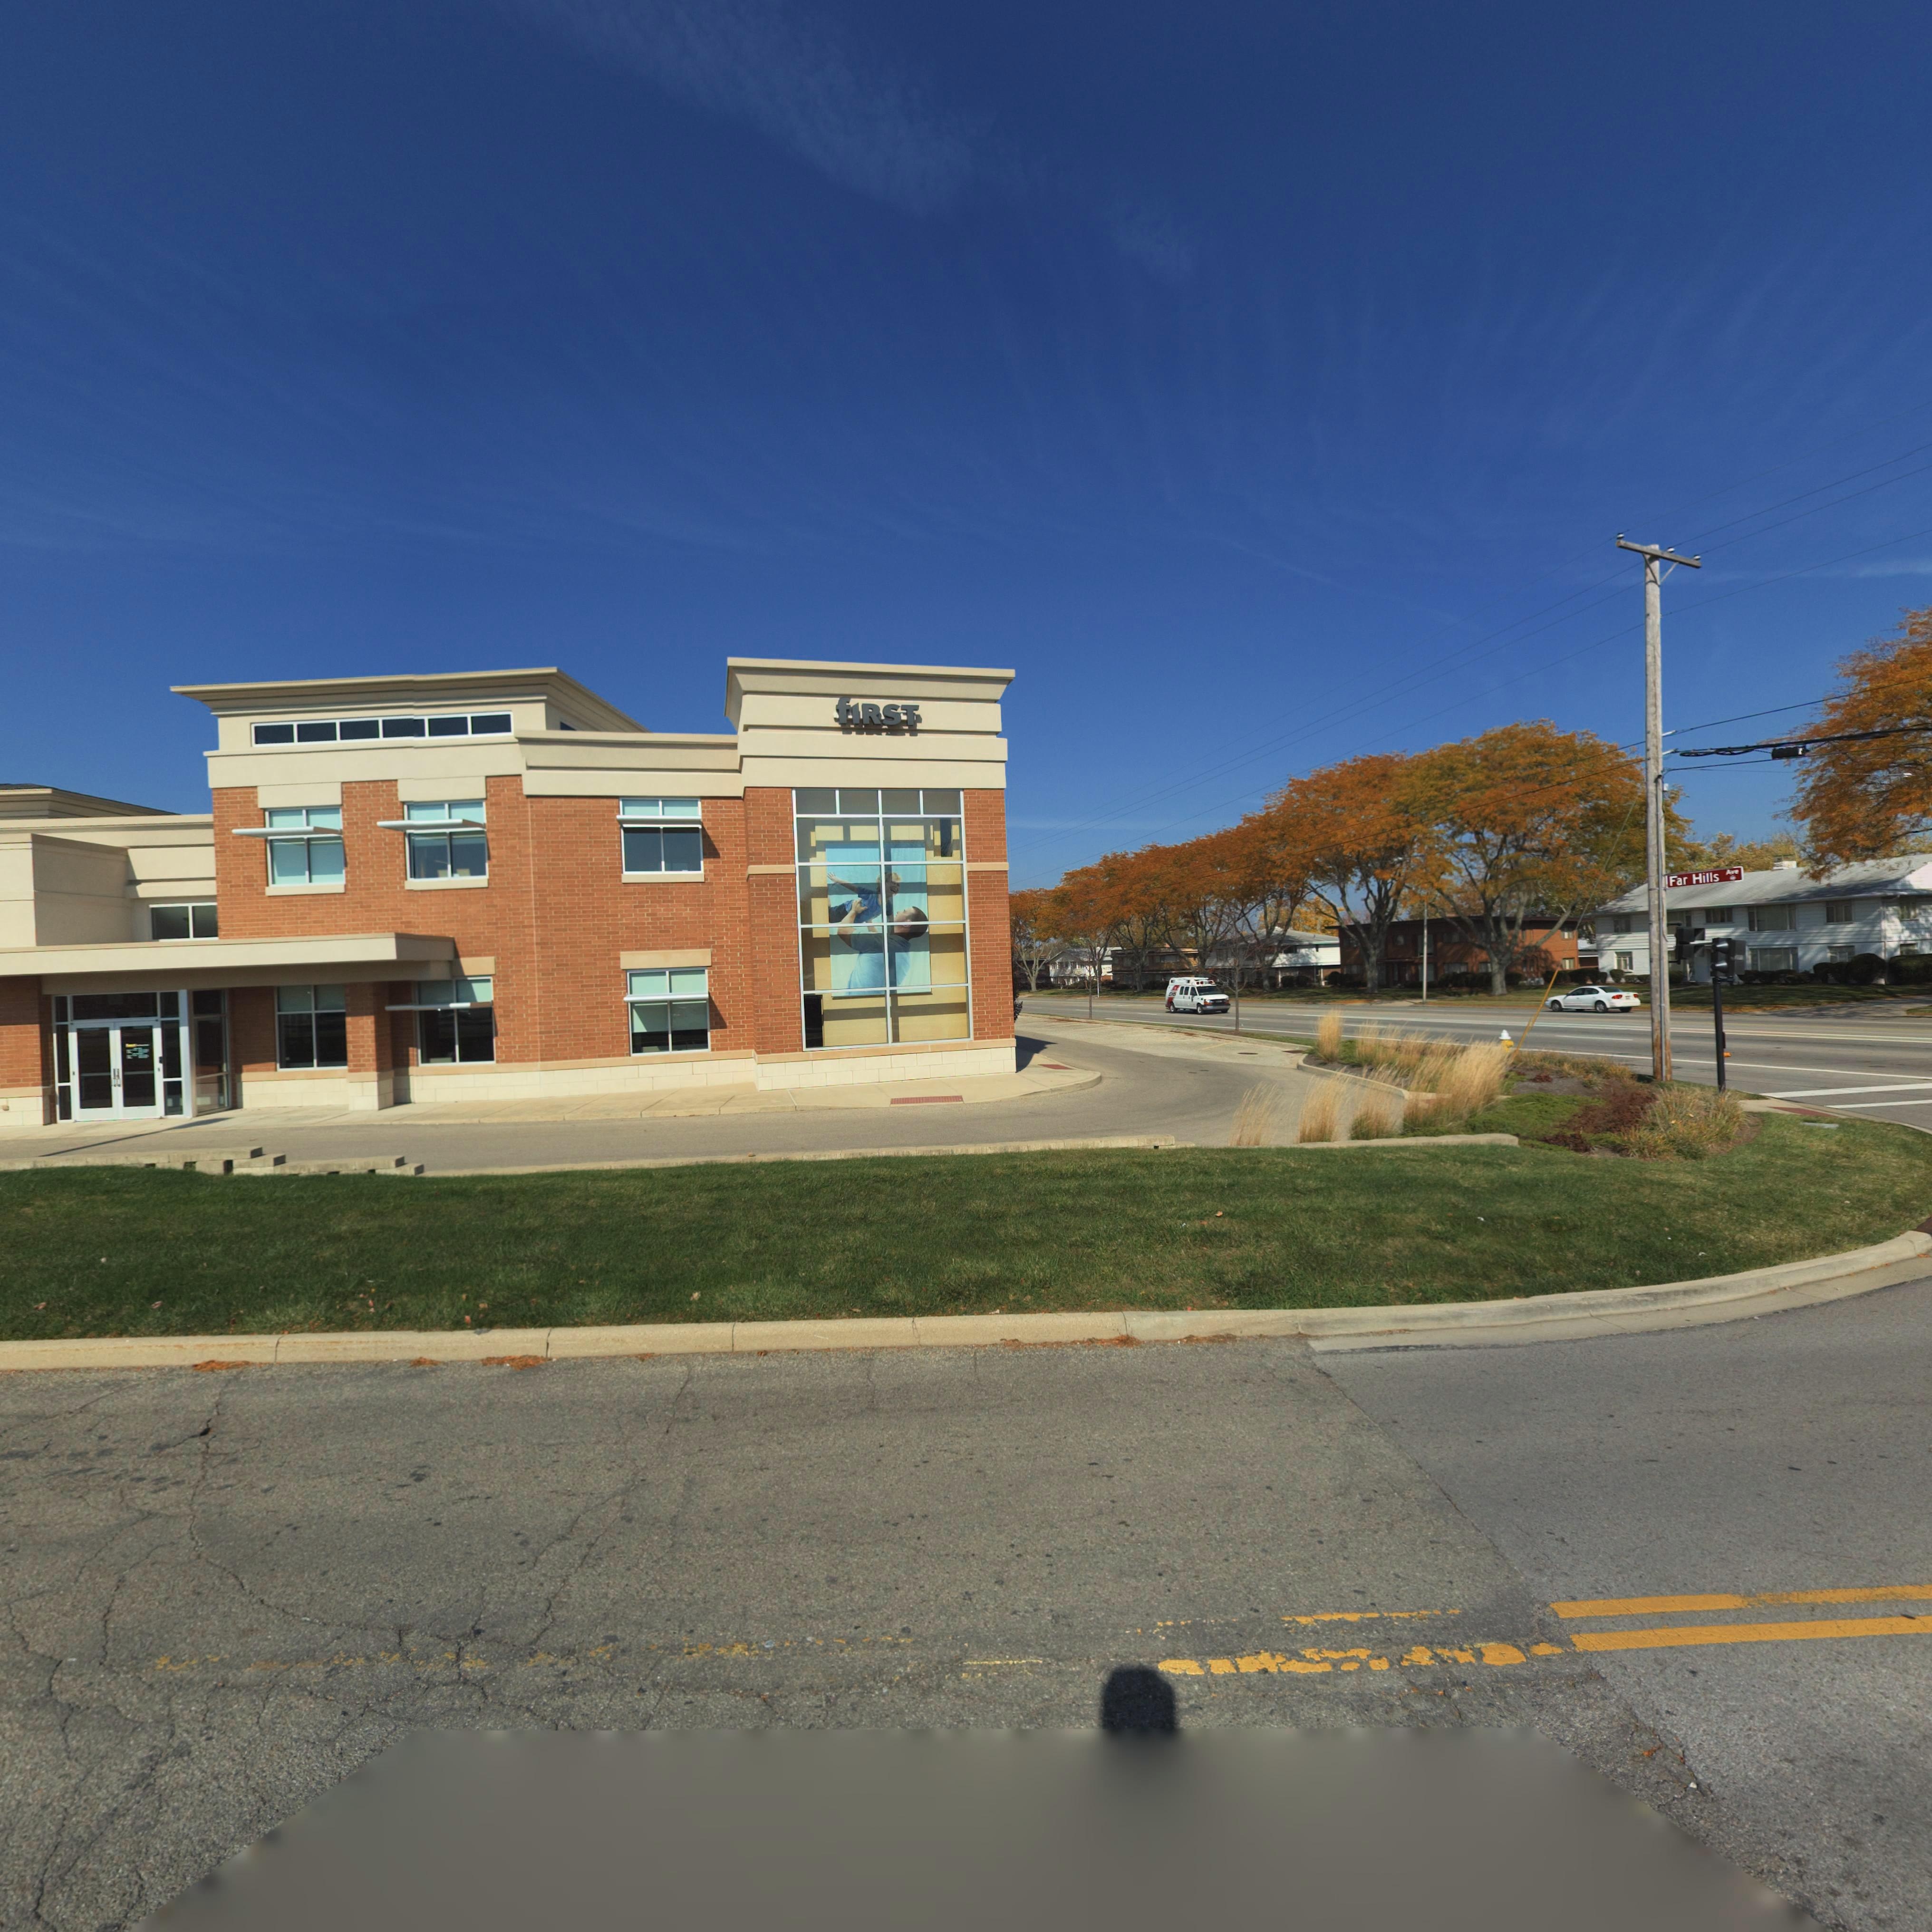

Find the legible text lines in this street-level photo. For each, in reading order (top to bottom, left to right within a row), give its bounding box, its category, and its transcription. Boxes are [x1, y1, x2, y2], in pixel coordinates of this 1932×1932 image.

[835, 696, 919, 726] BusinessName: fIRST
[1668, 868, 1740, 887] StreetName: Far Hills ***